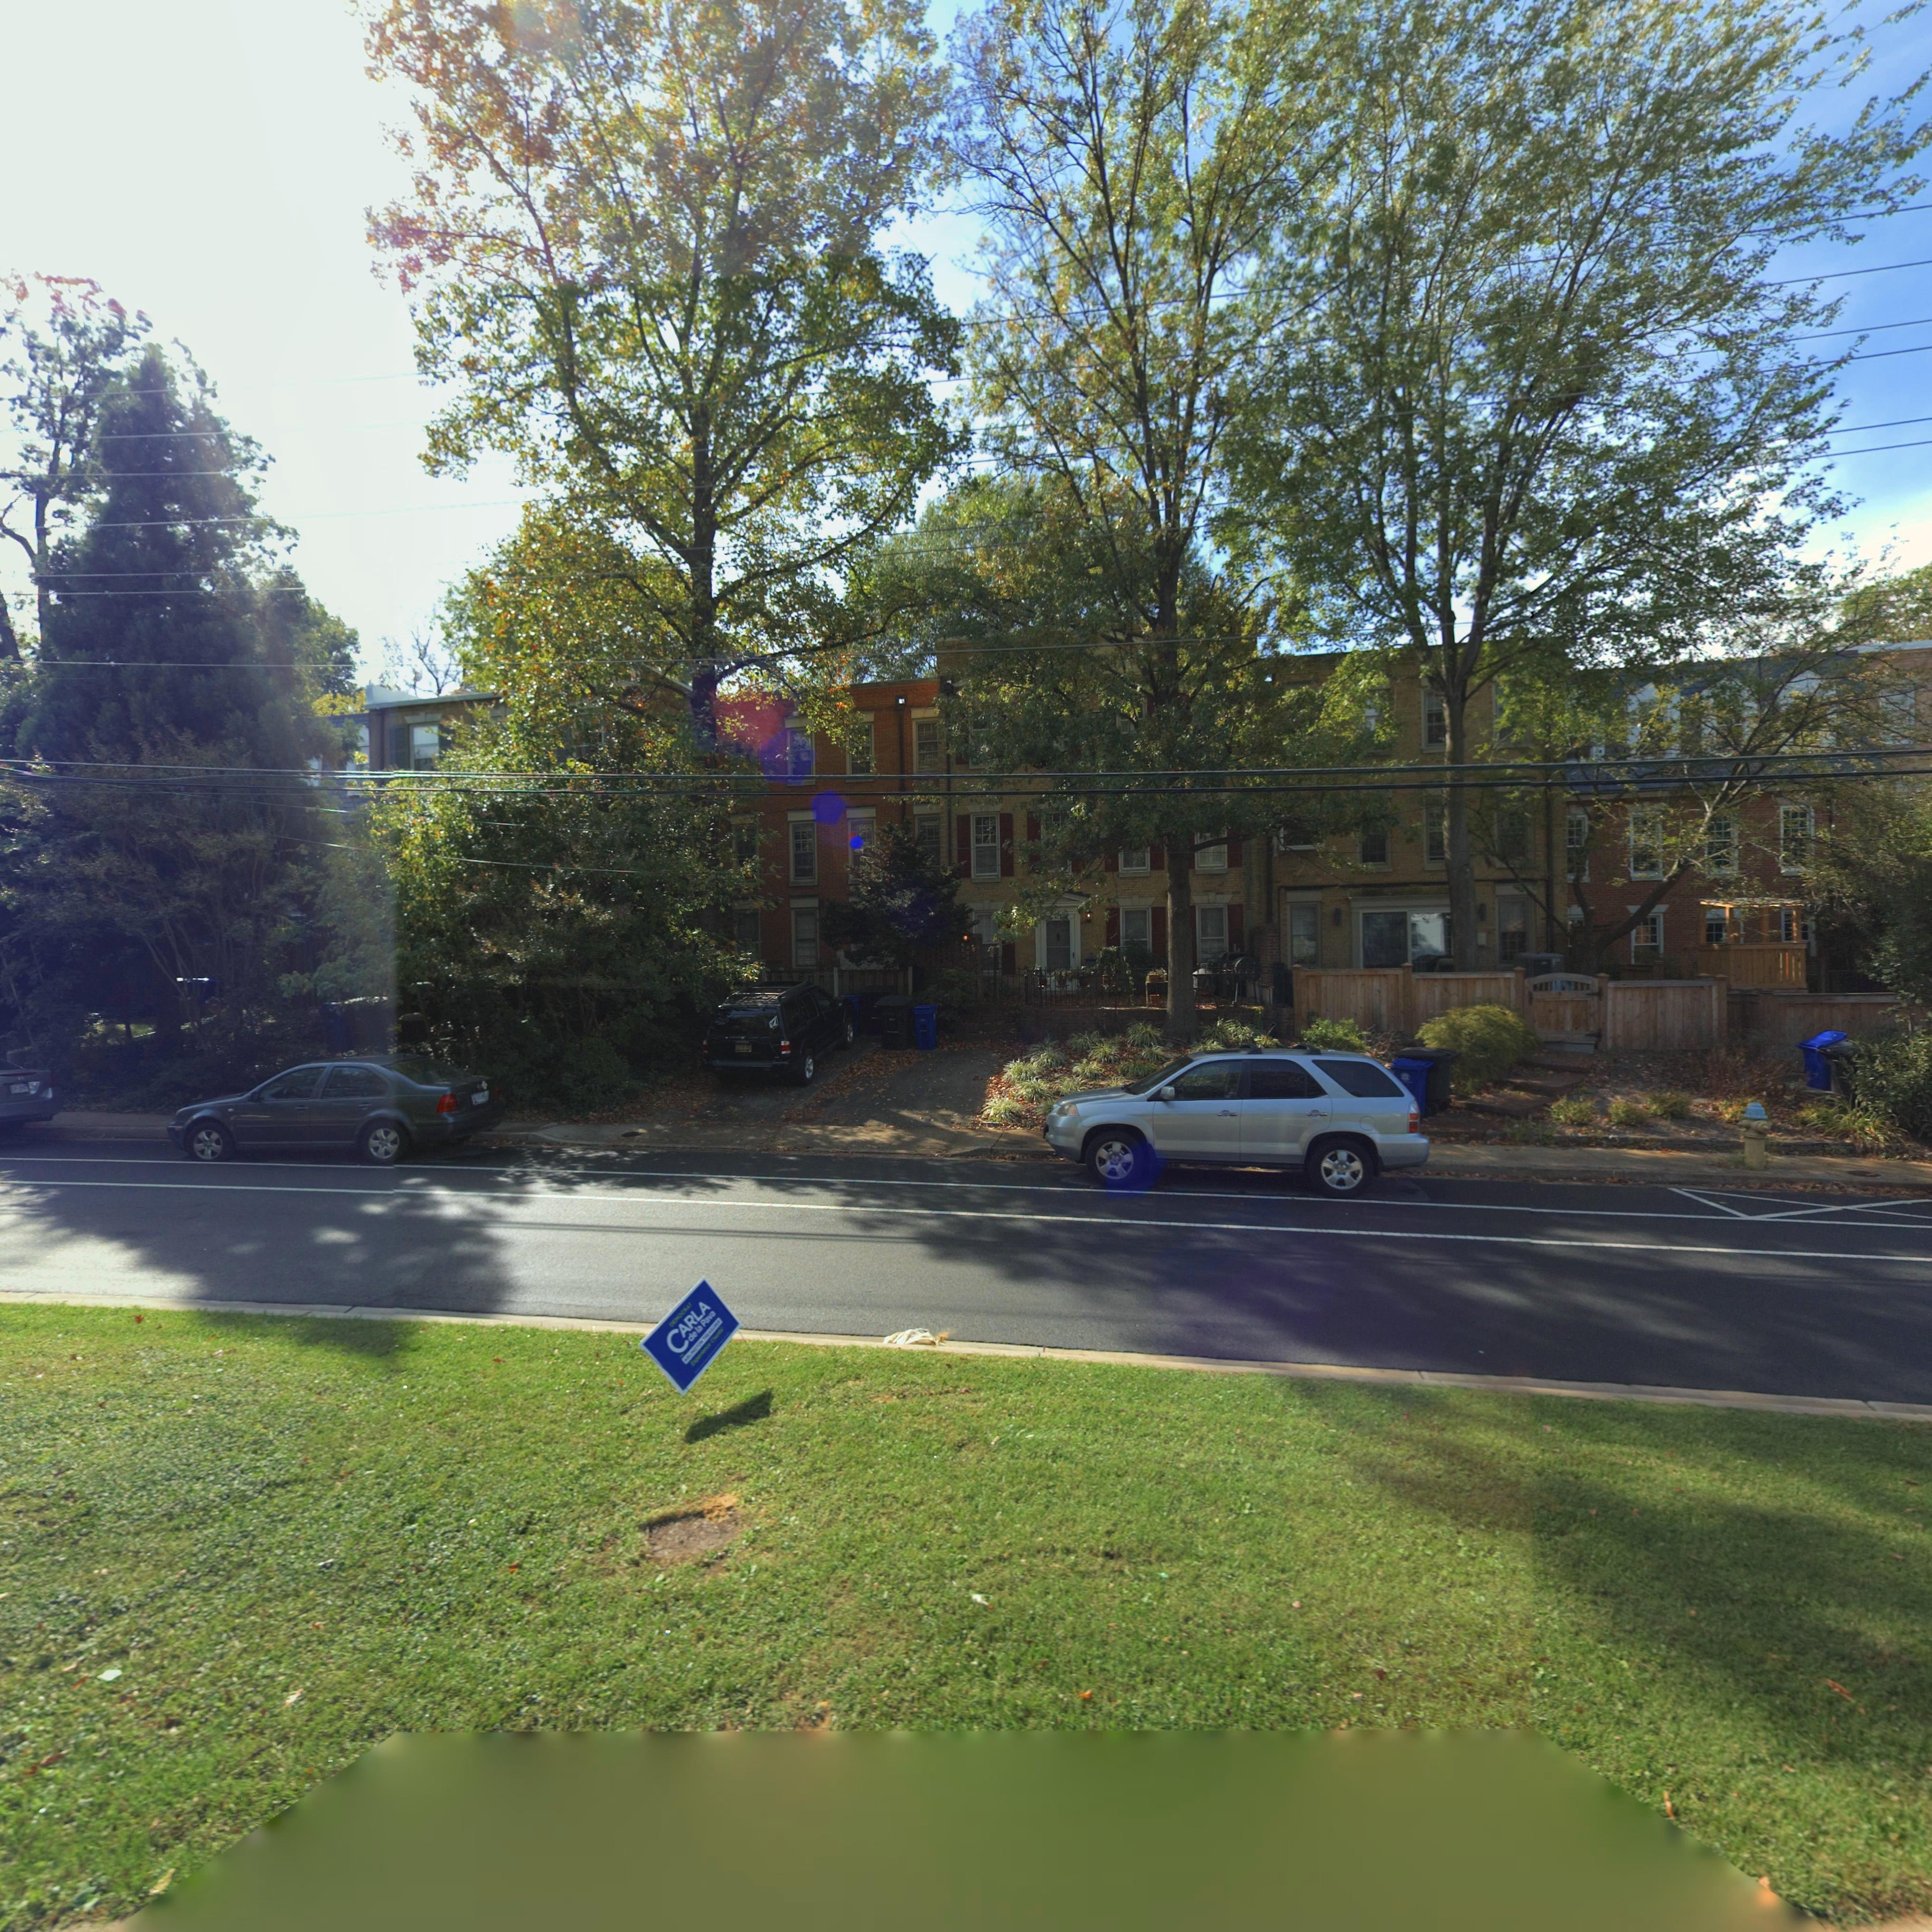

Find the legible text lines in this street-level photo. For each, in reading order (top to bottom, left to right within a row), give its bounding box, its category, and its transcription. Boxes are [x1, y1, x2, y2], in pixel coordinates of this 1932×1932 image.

[736, 1045, 751, 1050] None: E**3*41
[667, 1301, 693, 1329] None: DEMOCRAT
[666, 1300, 713, 1353] None: CARLA
[688, 1310, 717, 1343] None: de la Pava